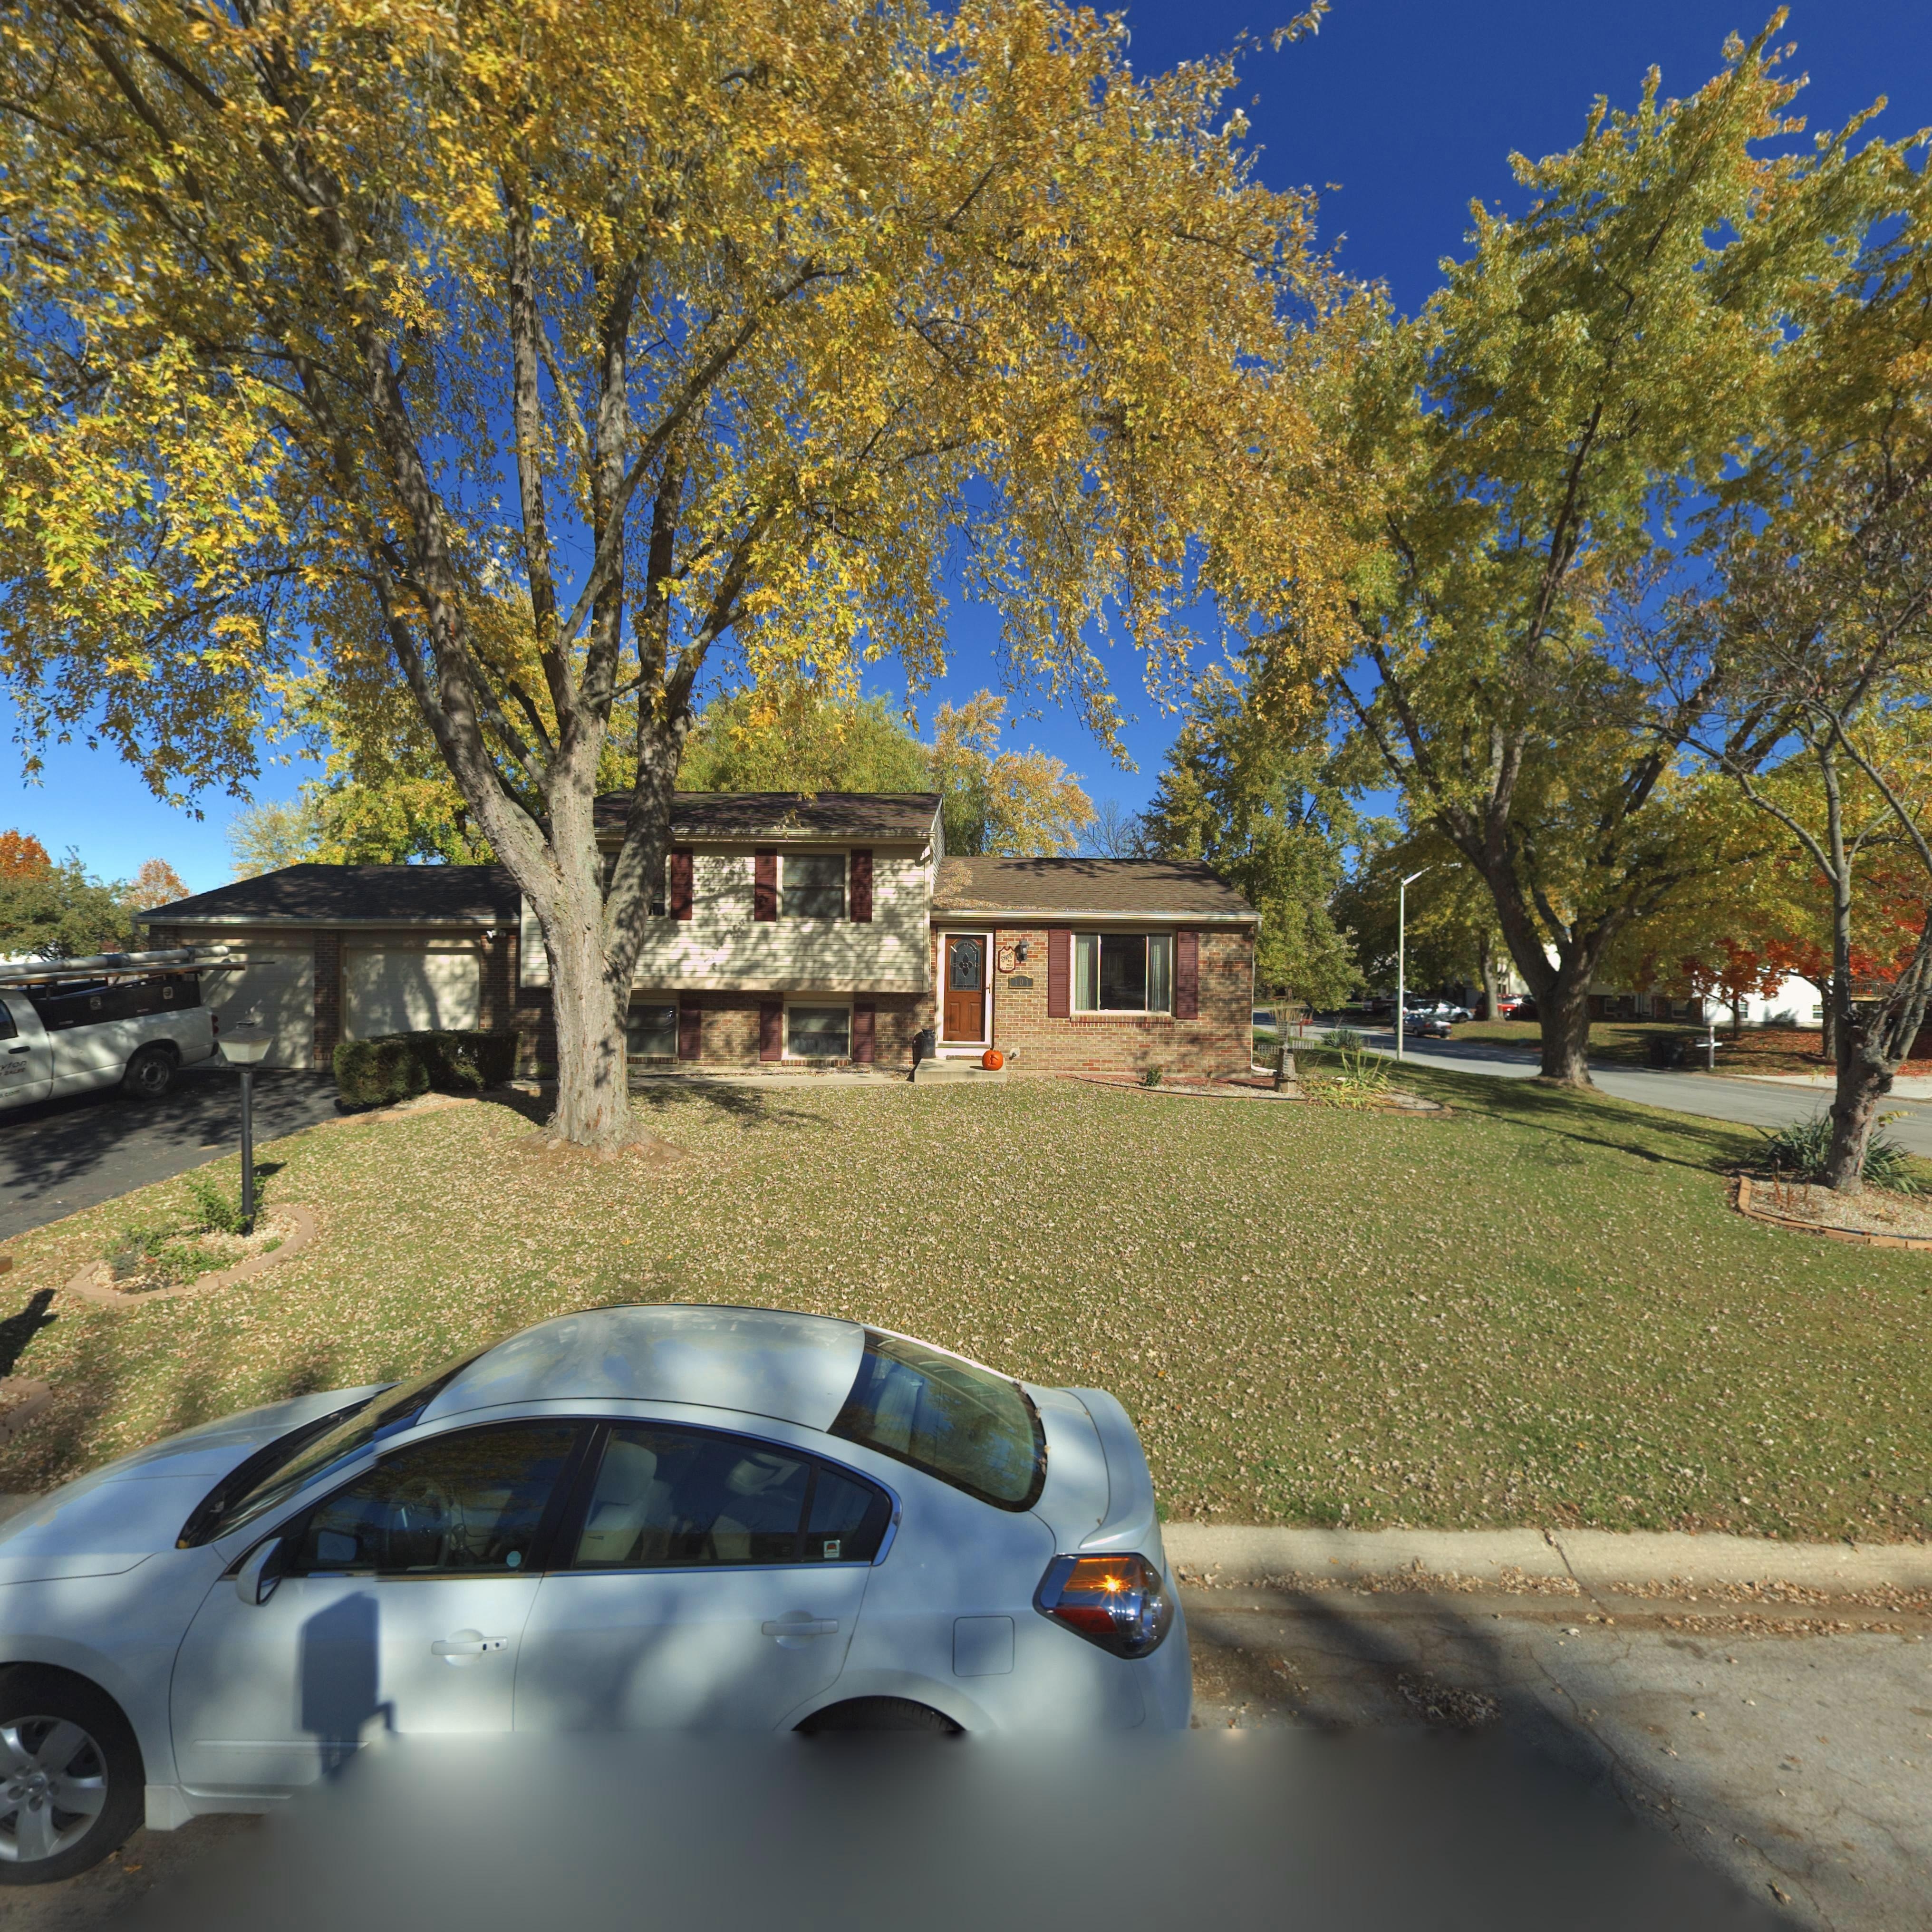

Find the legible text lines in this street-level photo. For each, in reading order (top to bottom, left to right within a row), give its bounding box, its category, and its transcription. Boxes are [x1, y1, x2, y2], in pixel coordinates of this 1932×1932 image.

[1014, 976, 1030, 987] StreetNumber: 101